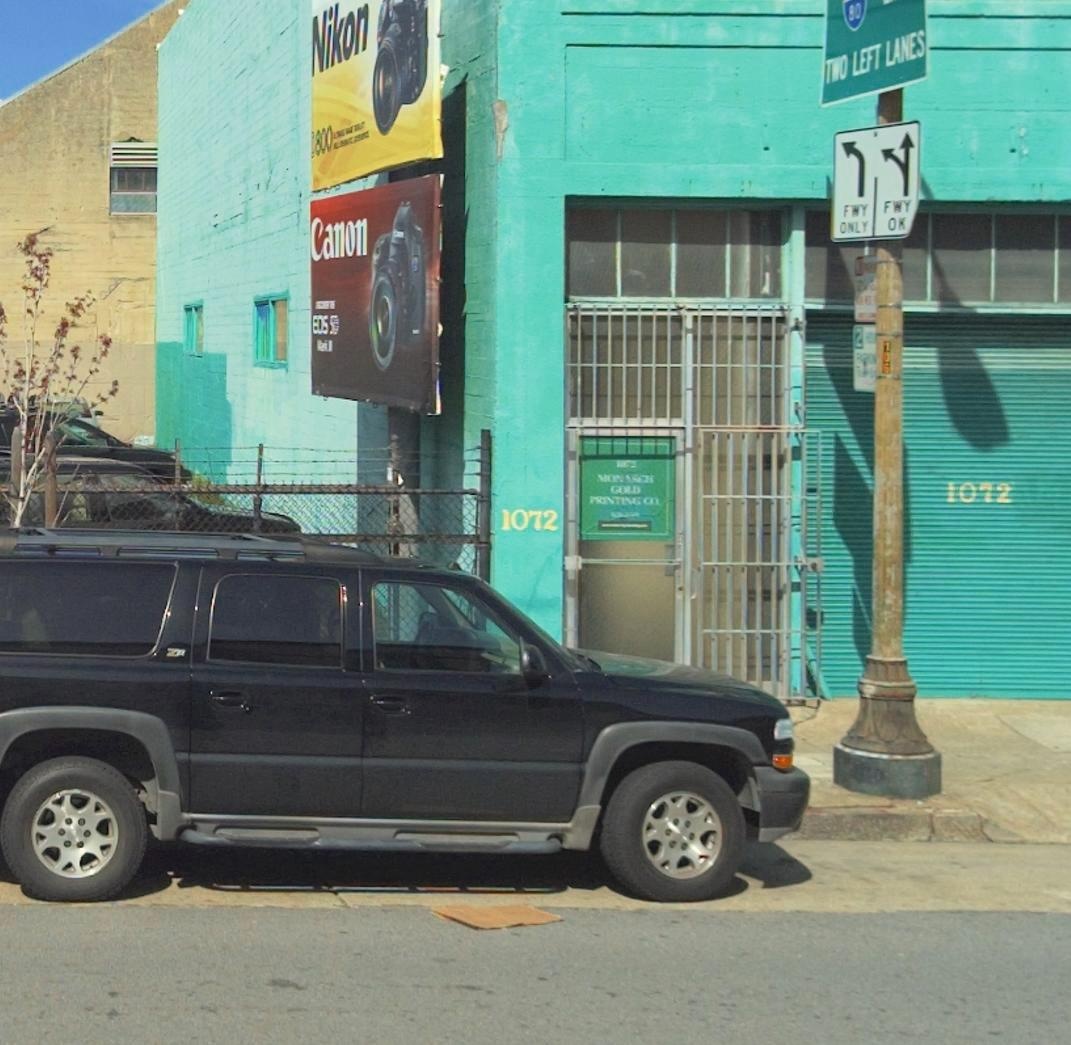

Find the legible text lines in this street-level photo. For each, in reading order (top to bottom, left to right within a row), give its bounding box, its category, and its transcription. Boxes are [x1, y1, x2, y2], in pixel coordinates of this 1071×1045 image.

[844, 0, 864, 27] None: 80
[307, 0, 373, 83] None: Nikon
[821, 24, 930, 91] None: TWO LEFT LANES
[311, 121, 336, 160] None: 800
[837, 215, 872, 237] None: ONLY
[840, 200, 872, 222] None: FWY
[883, 213, 909, 233] None: OR
[880, 196, 916, 216] None: FWY
[307, 212, 373, 268] None: Canon
[309, 312, 332, 337] None: EOS
[853, 328, 865, 353] None: 2
[883, 340, 891, 377] None: 106
[586, 494, 663, 507] BusinessName: PRINTIN**
[595, 472, 657, 485] BusinessName: MO*ARCH
[608, 482, 644, 496] BusinessName: GOLD
[943, 478, 1016, 507] StreetNumber: 1072
[498, 505, 562, 534] StreetNumber: 1072